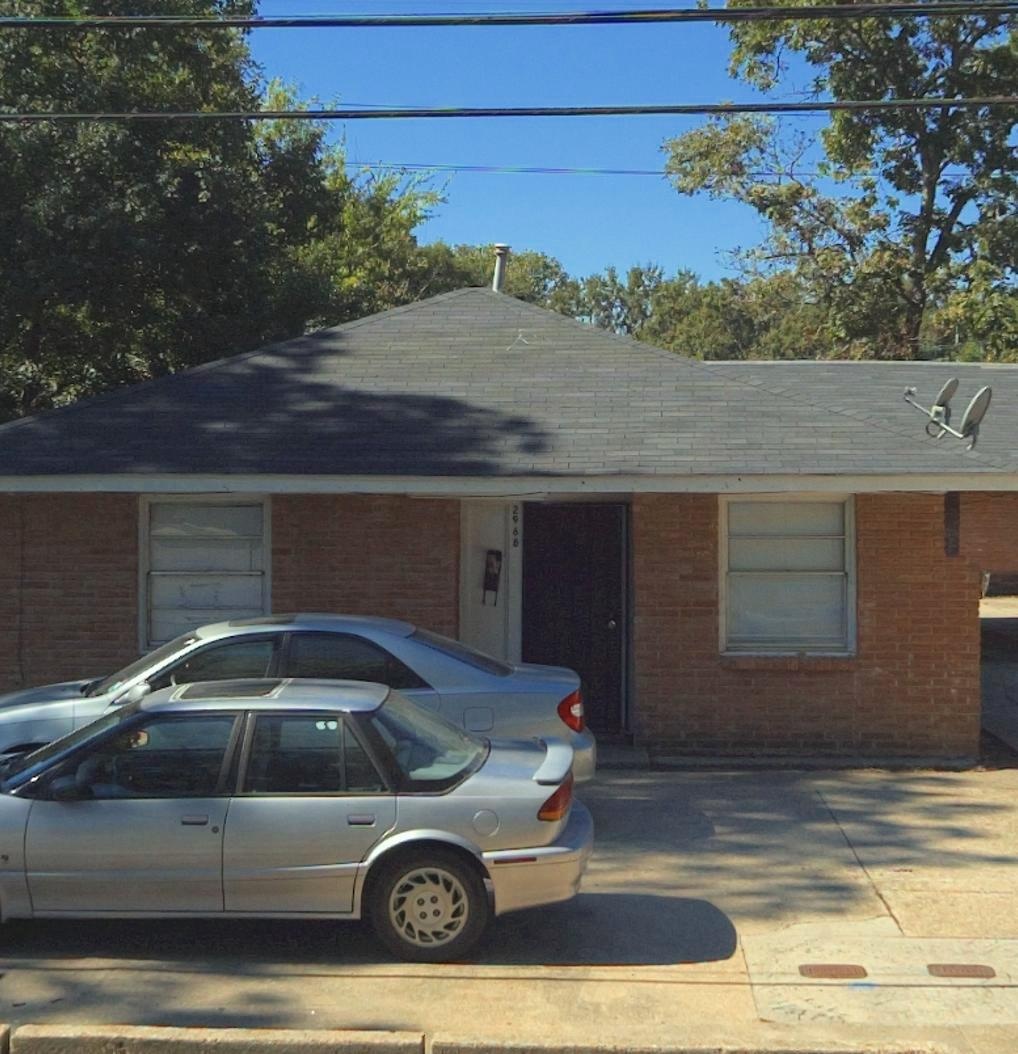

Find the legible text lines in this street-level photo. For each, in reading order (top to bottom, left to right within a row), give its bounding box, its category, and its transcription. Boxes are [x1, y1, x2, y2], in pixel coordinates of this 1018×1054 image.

[511, 504, 520, 548] StreetNumber: 2968